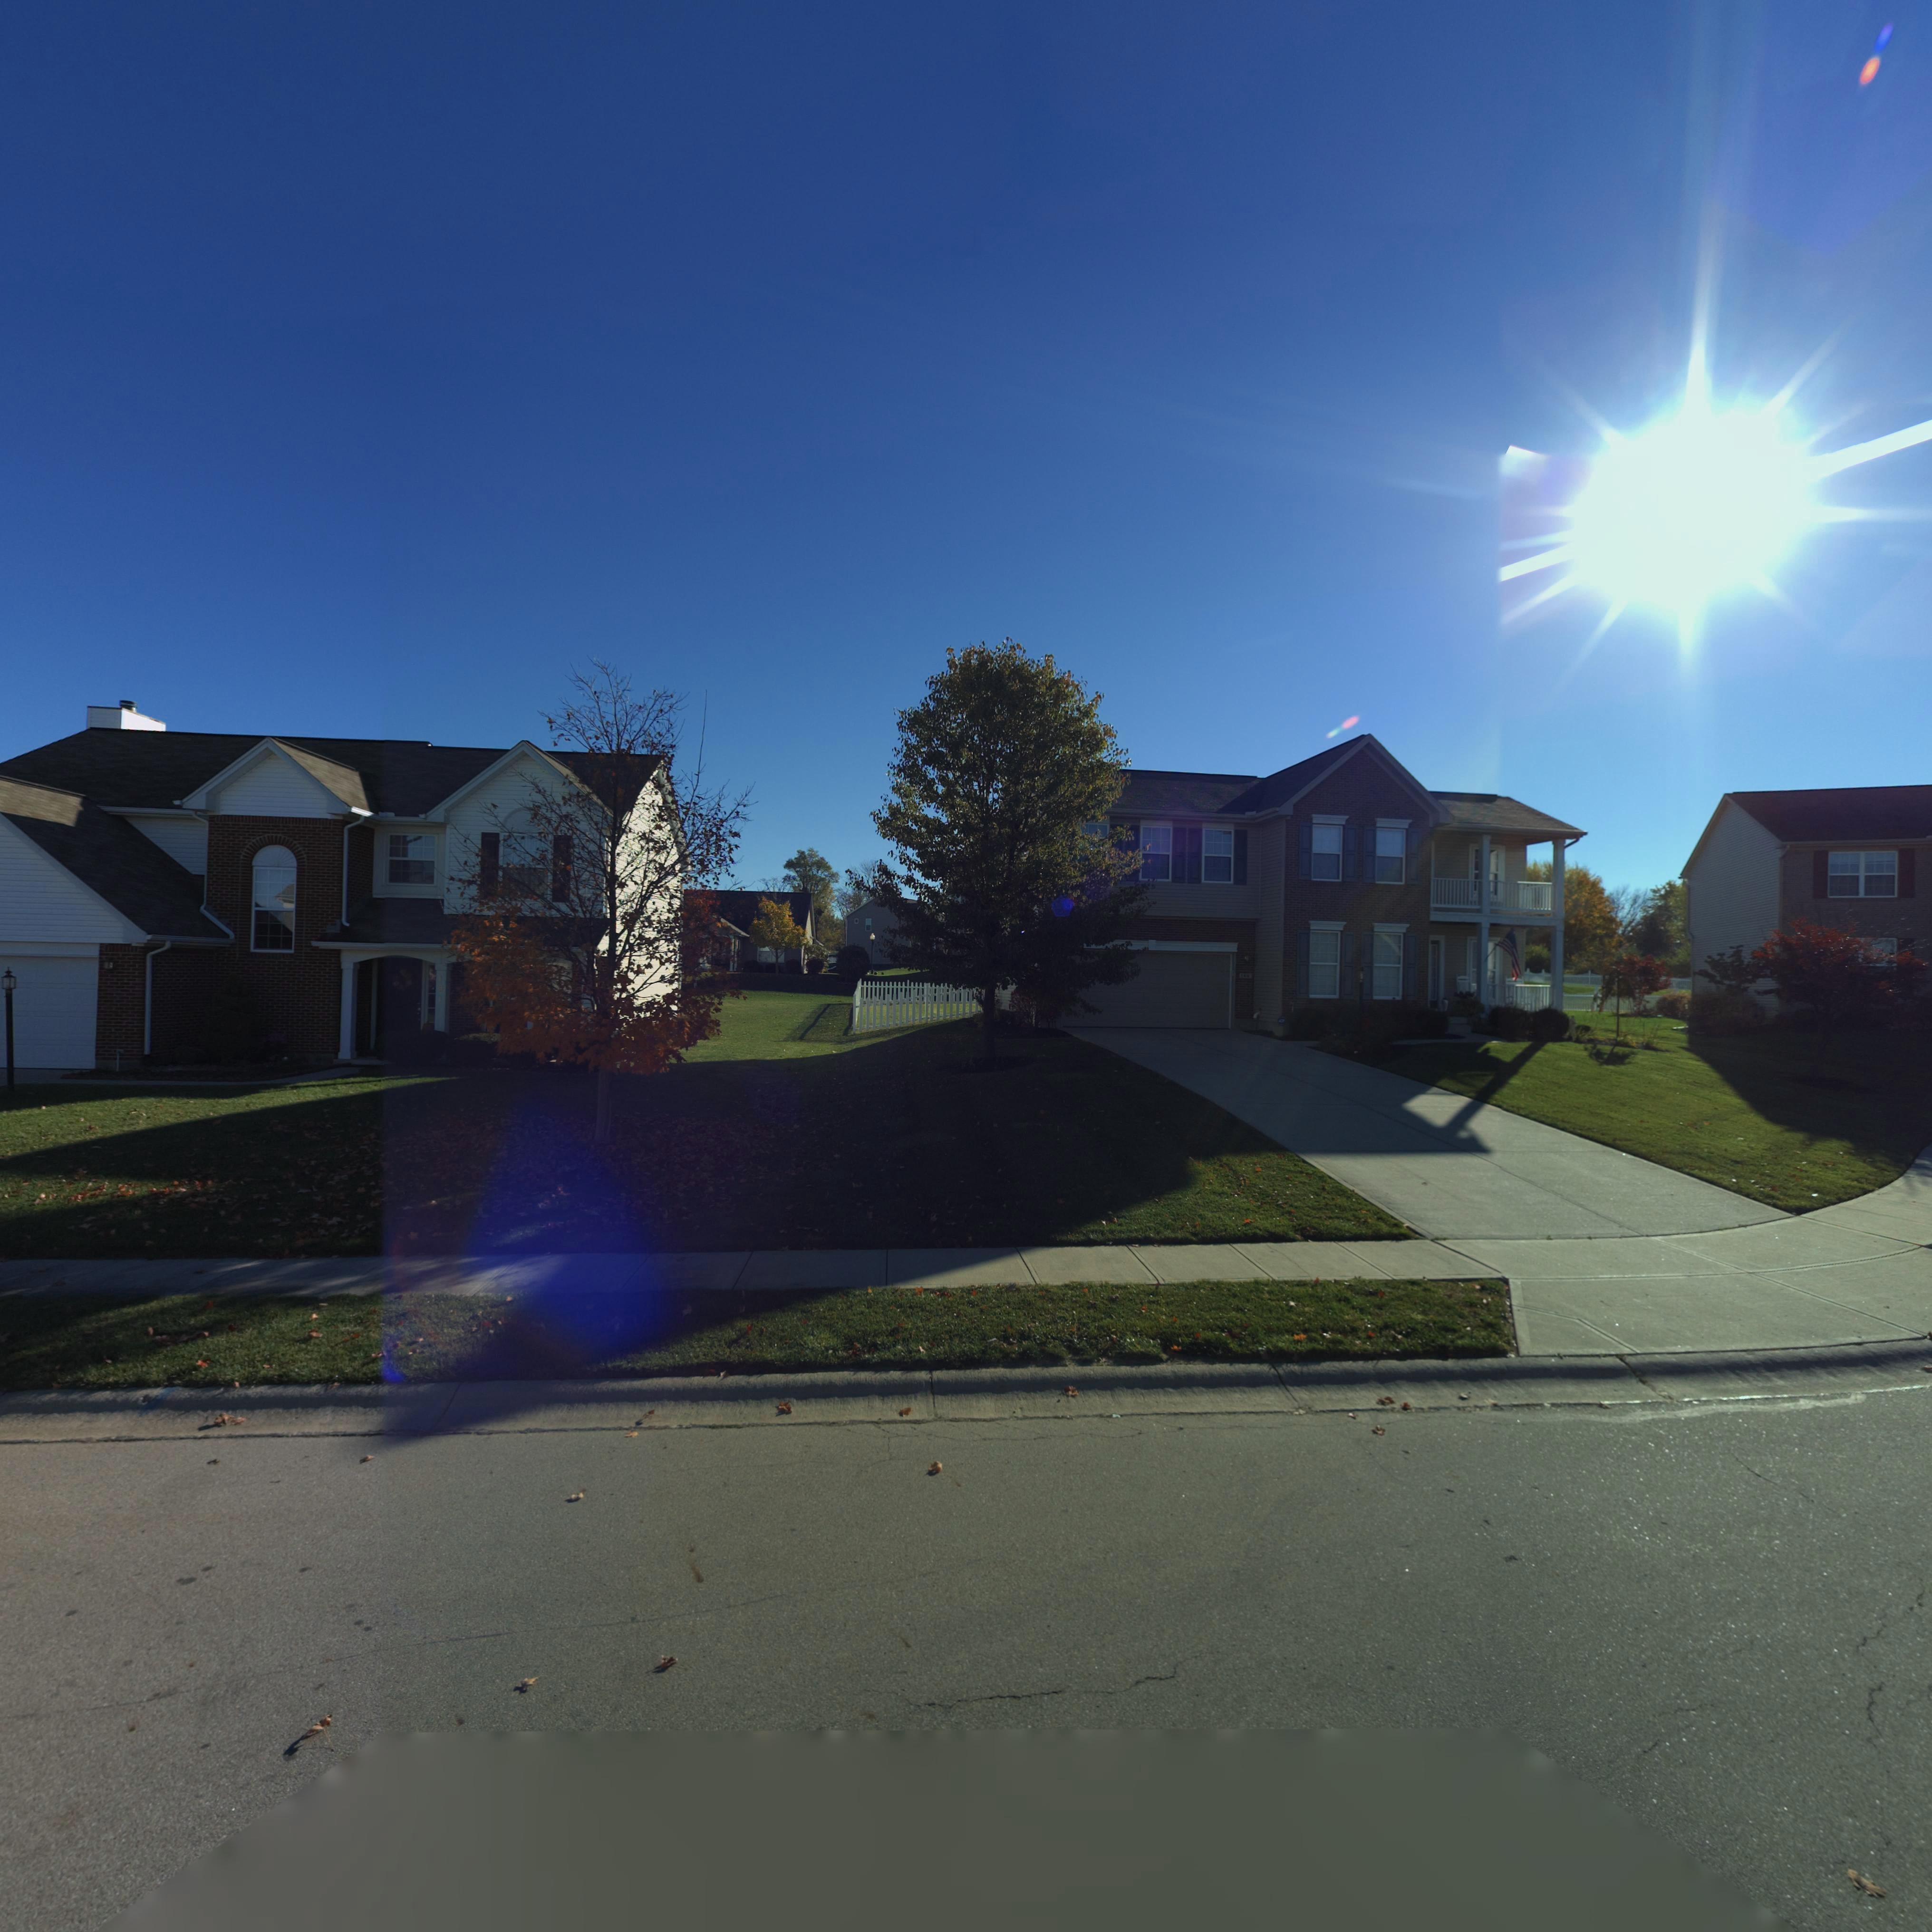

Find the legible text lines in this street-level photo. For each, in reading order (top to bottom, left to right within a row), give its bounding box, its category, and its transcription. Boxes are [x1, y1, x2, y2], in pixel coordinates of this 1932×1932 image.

[438, 975, 444, 1004] StreetNumber: **1